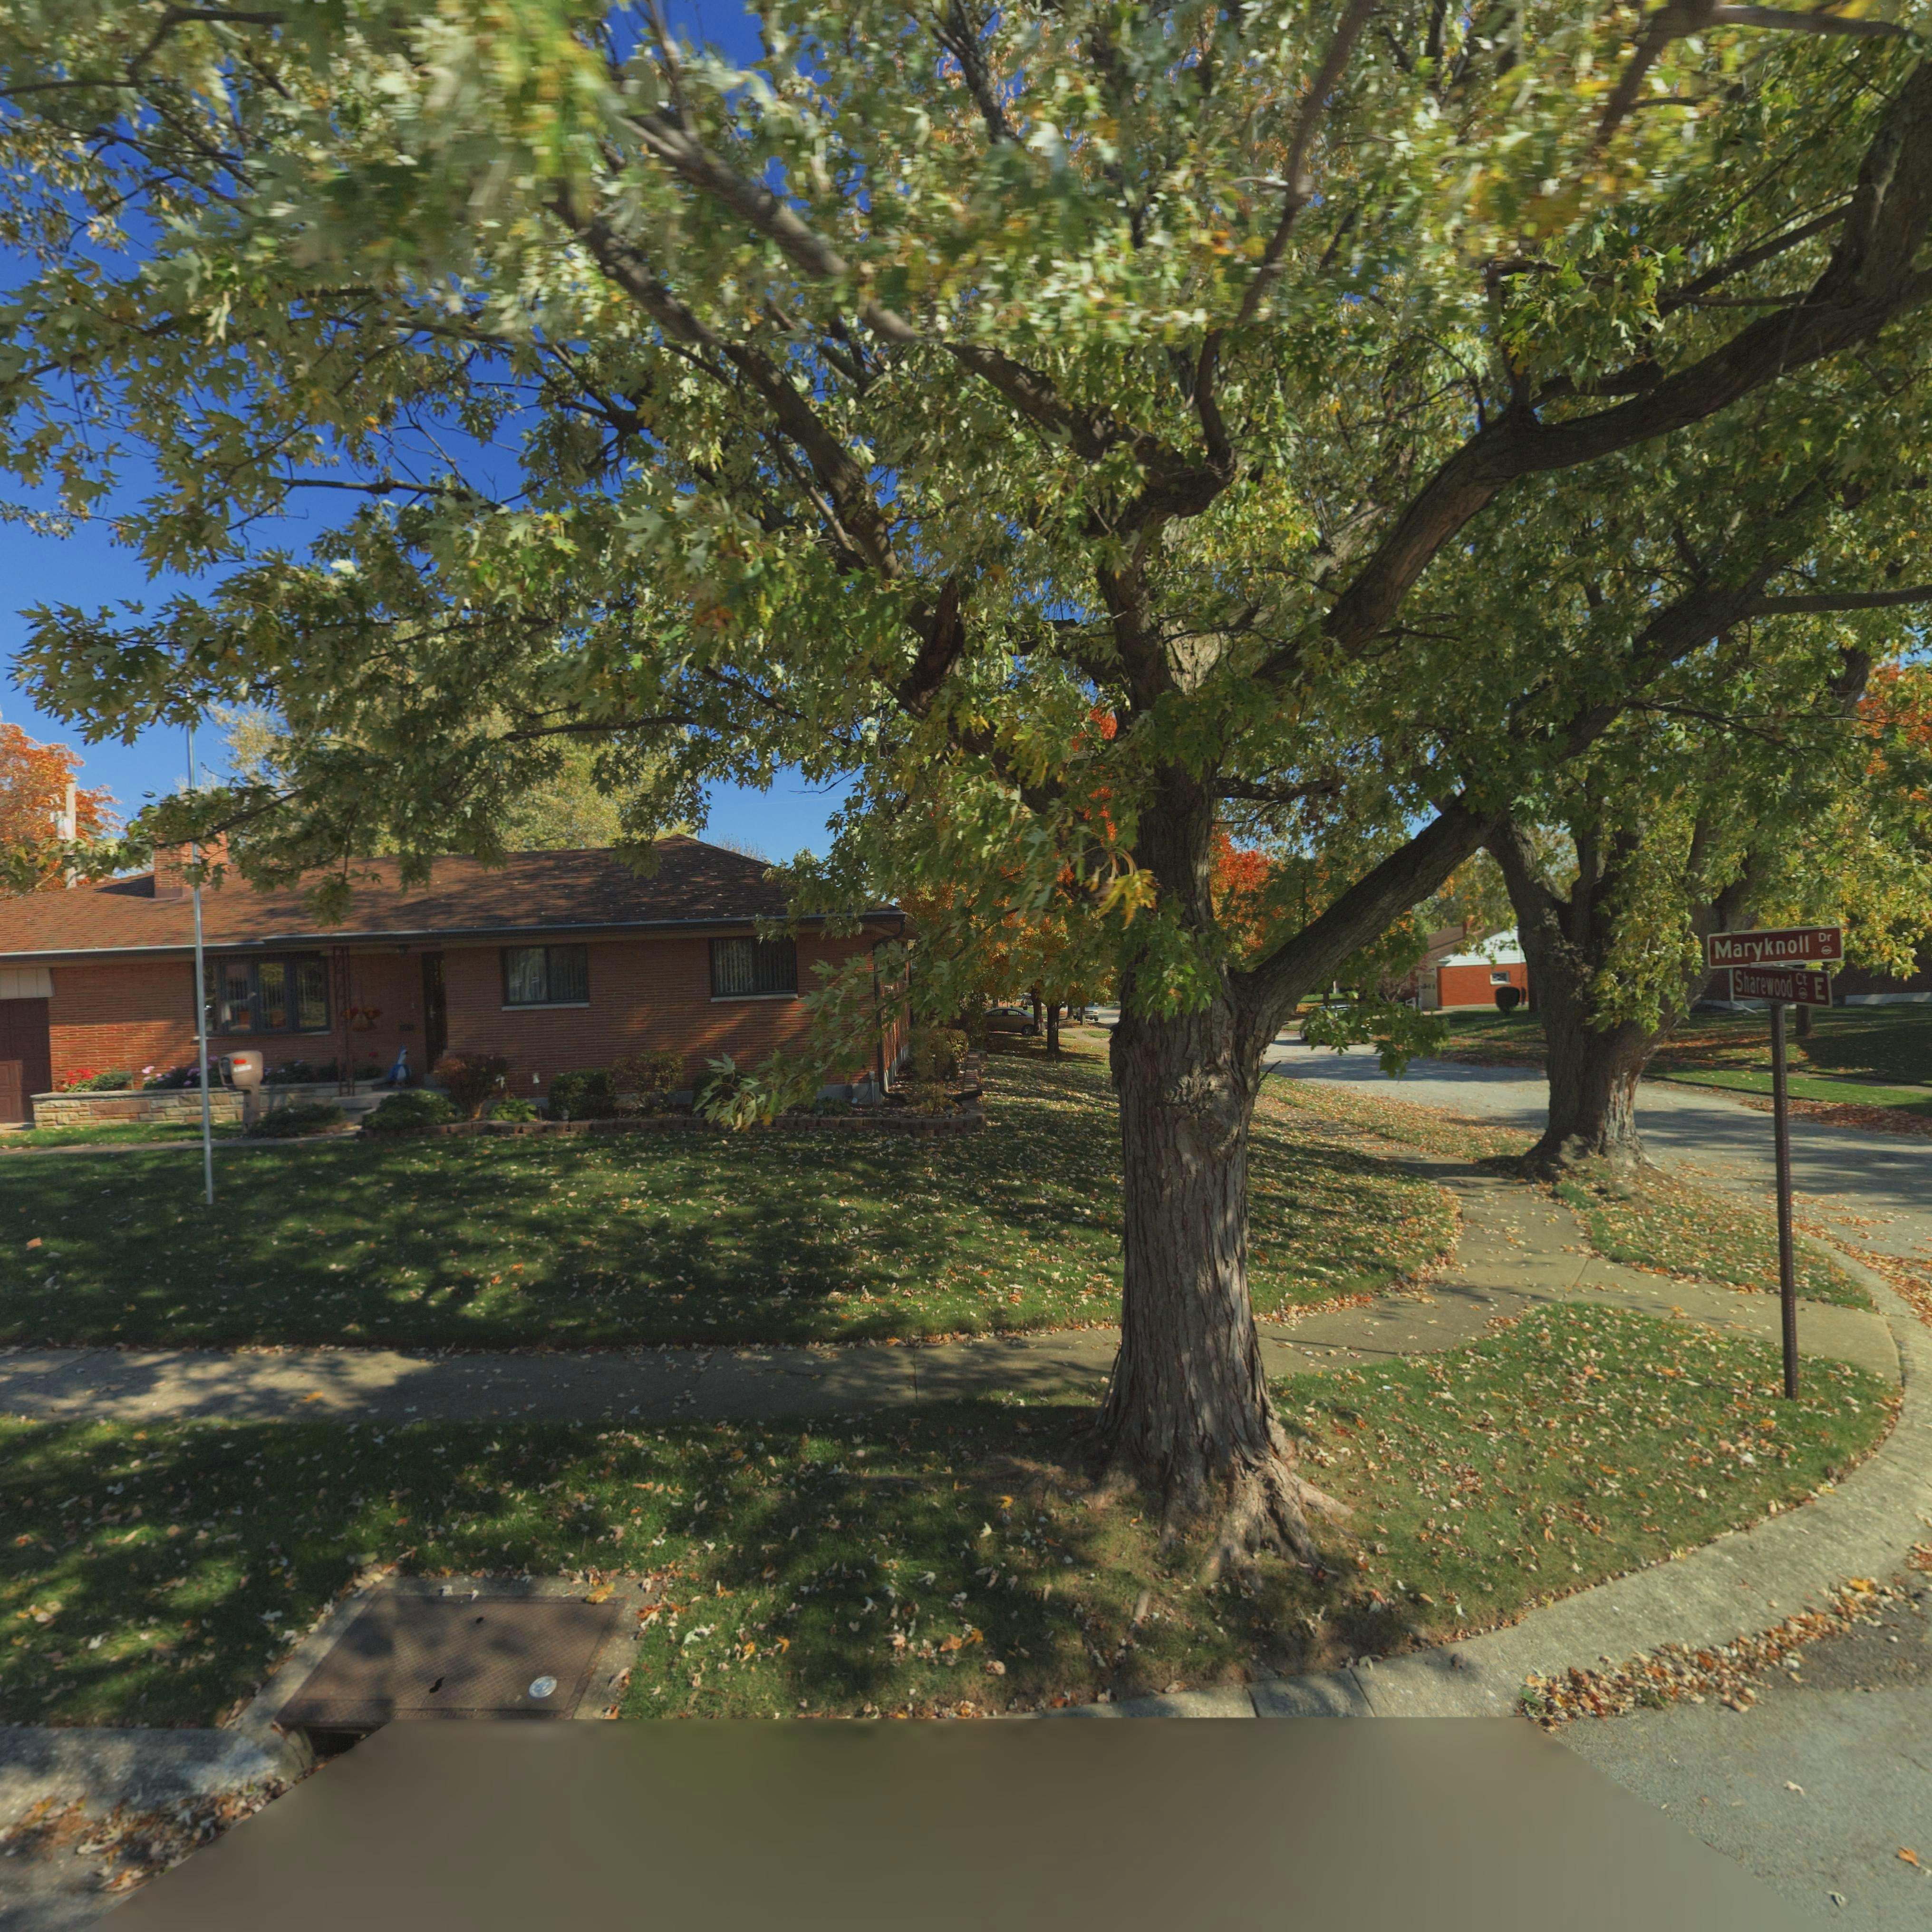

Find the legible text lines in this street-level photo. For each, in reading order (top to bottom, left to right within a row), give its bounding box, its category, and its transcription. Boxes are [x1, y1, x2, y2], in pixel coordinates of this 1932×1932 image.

[1714, 932, 1833, 962] StreetName: Maryknoll Dr
[1734, 969, 1826, 1001] StreetName: Sharewood Ct E